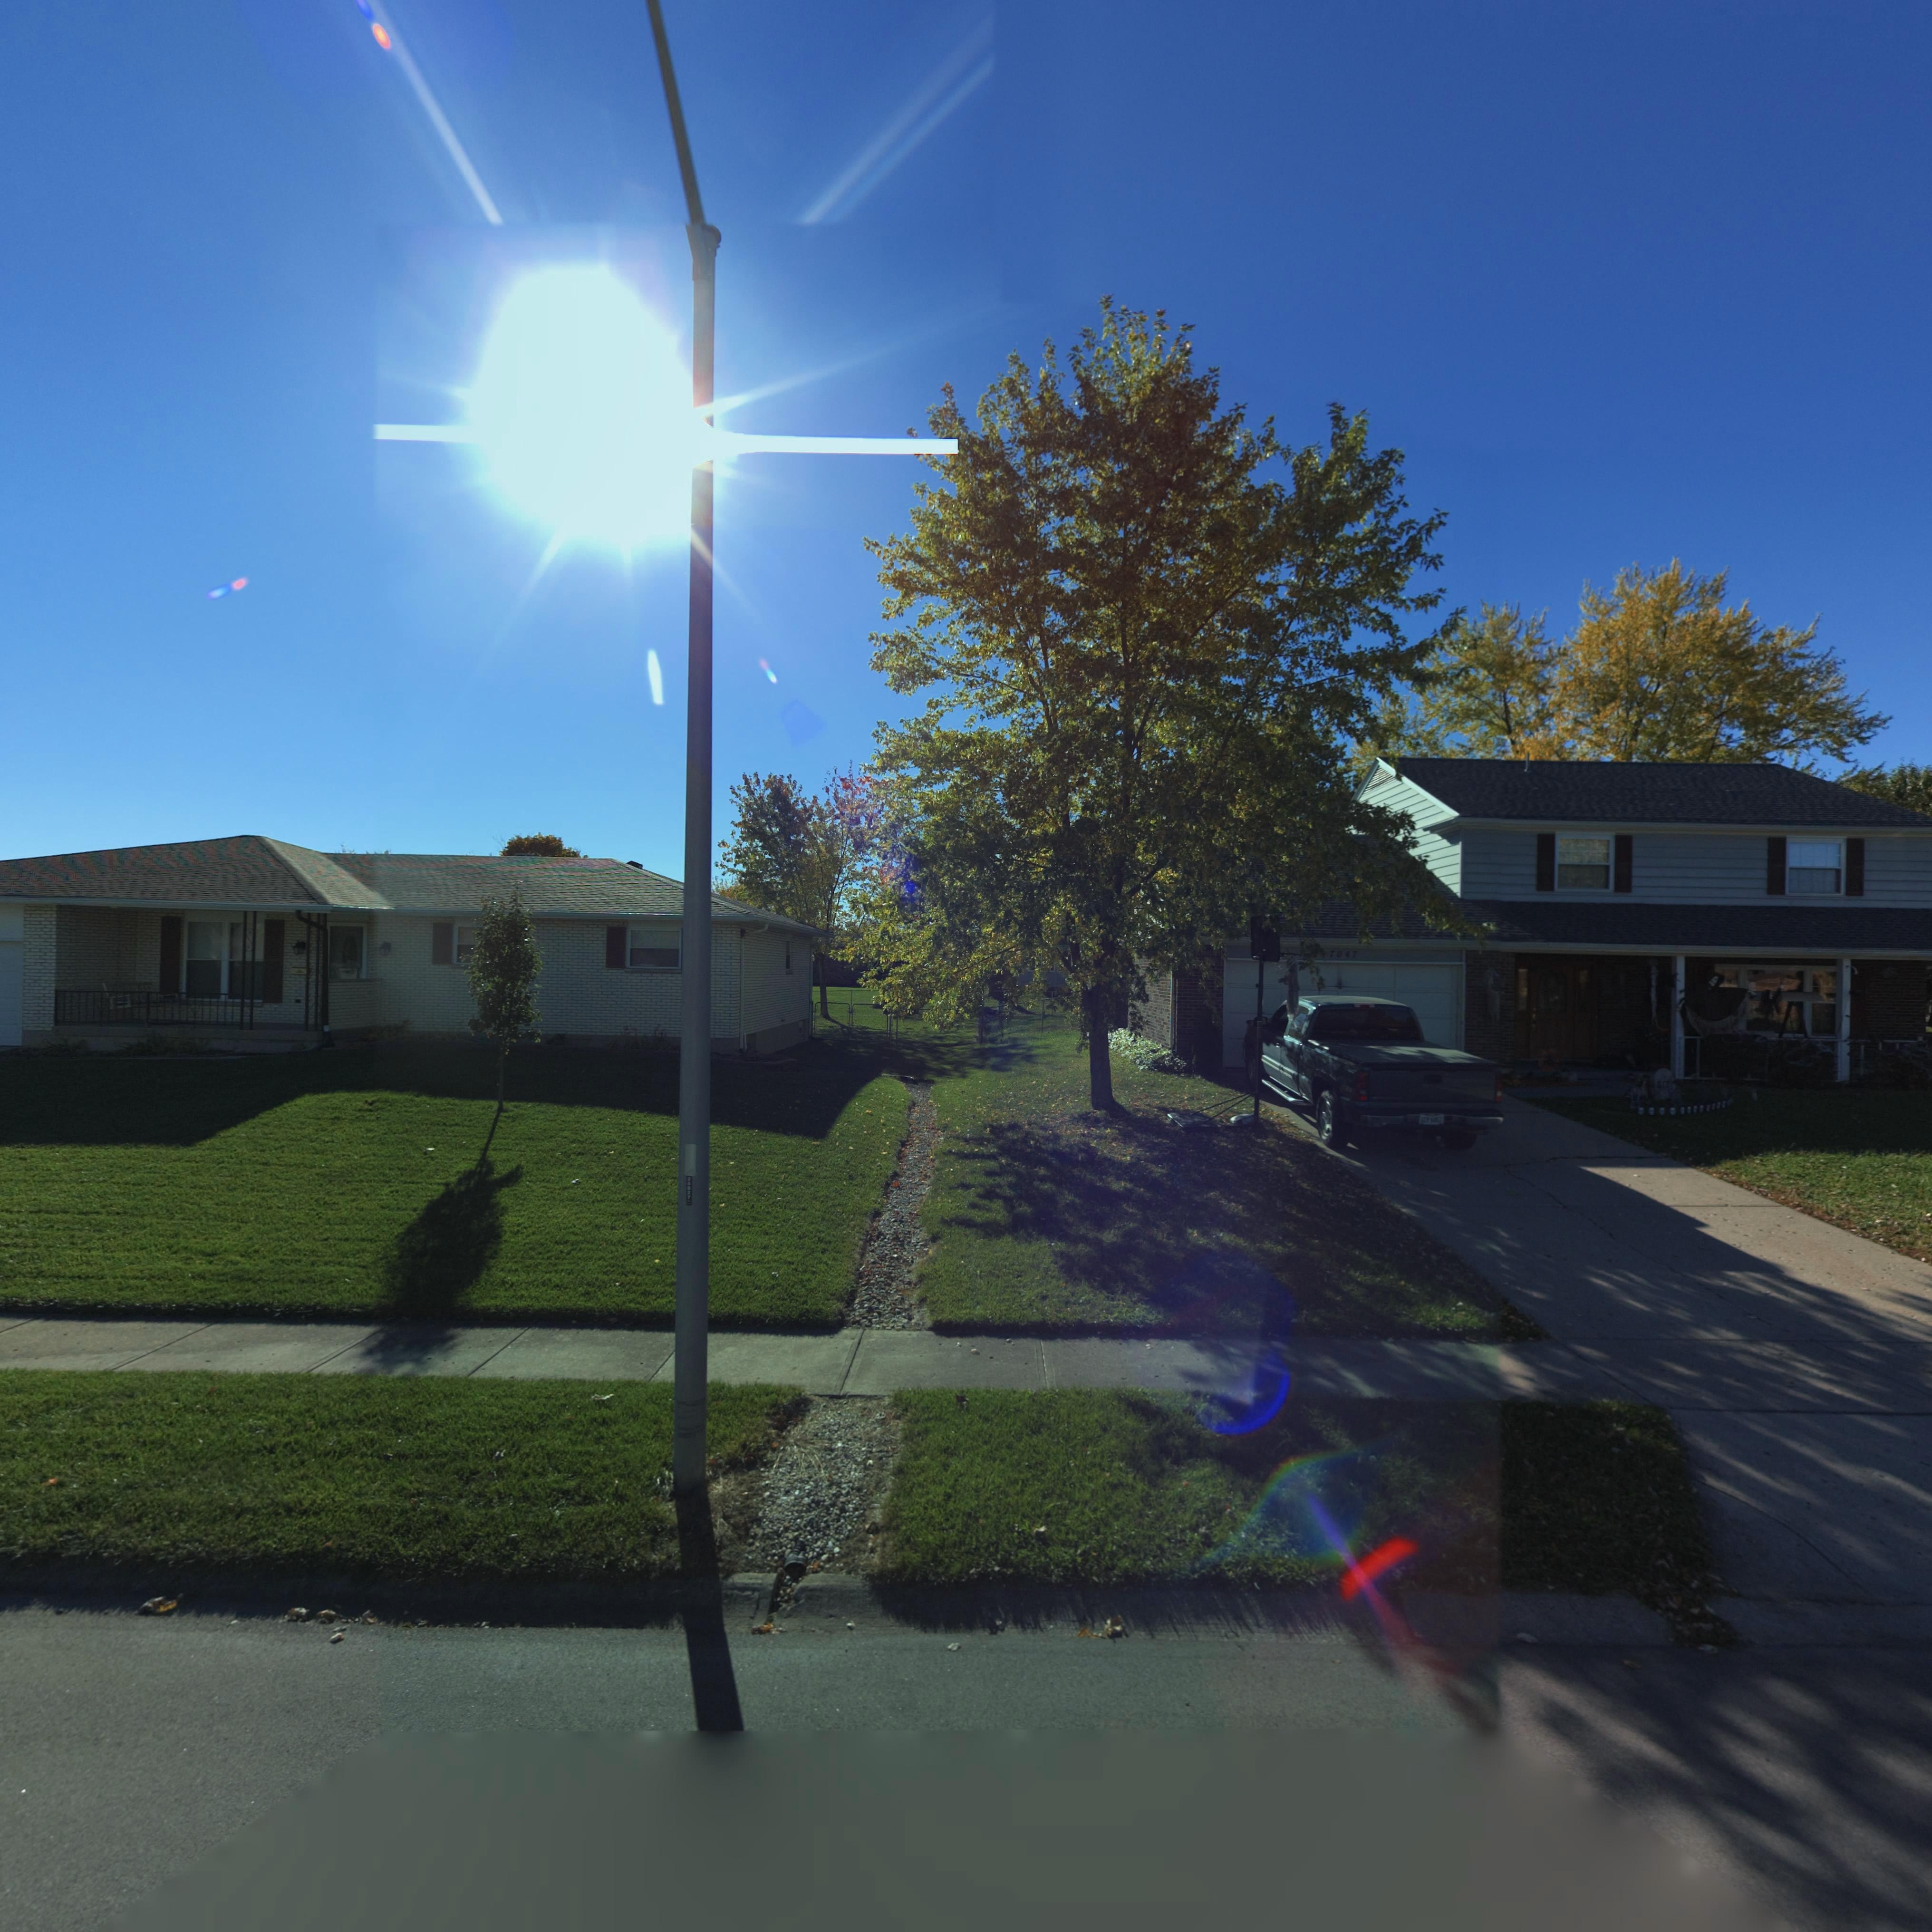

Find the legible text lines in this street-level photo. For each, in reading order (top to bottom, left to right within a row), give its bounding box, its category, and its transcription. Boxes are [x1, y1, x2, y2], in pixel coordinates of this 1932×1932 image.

[1328, 949, 1358, 958] StreetNumber: 7047